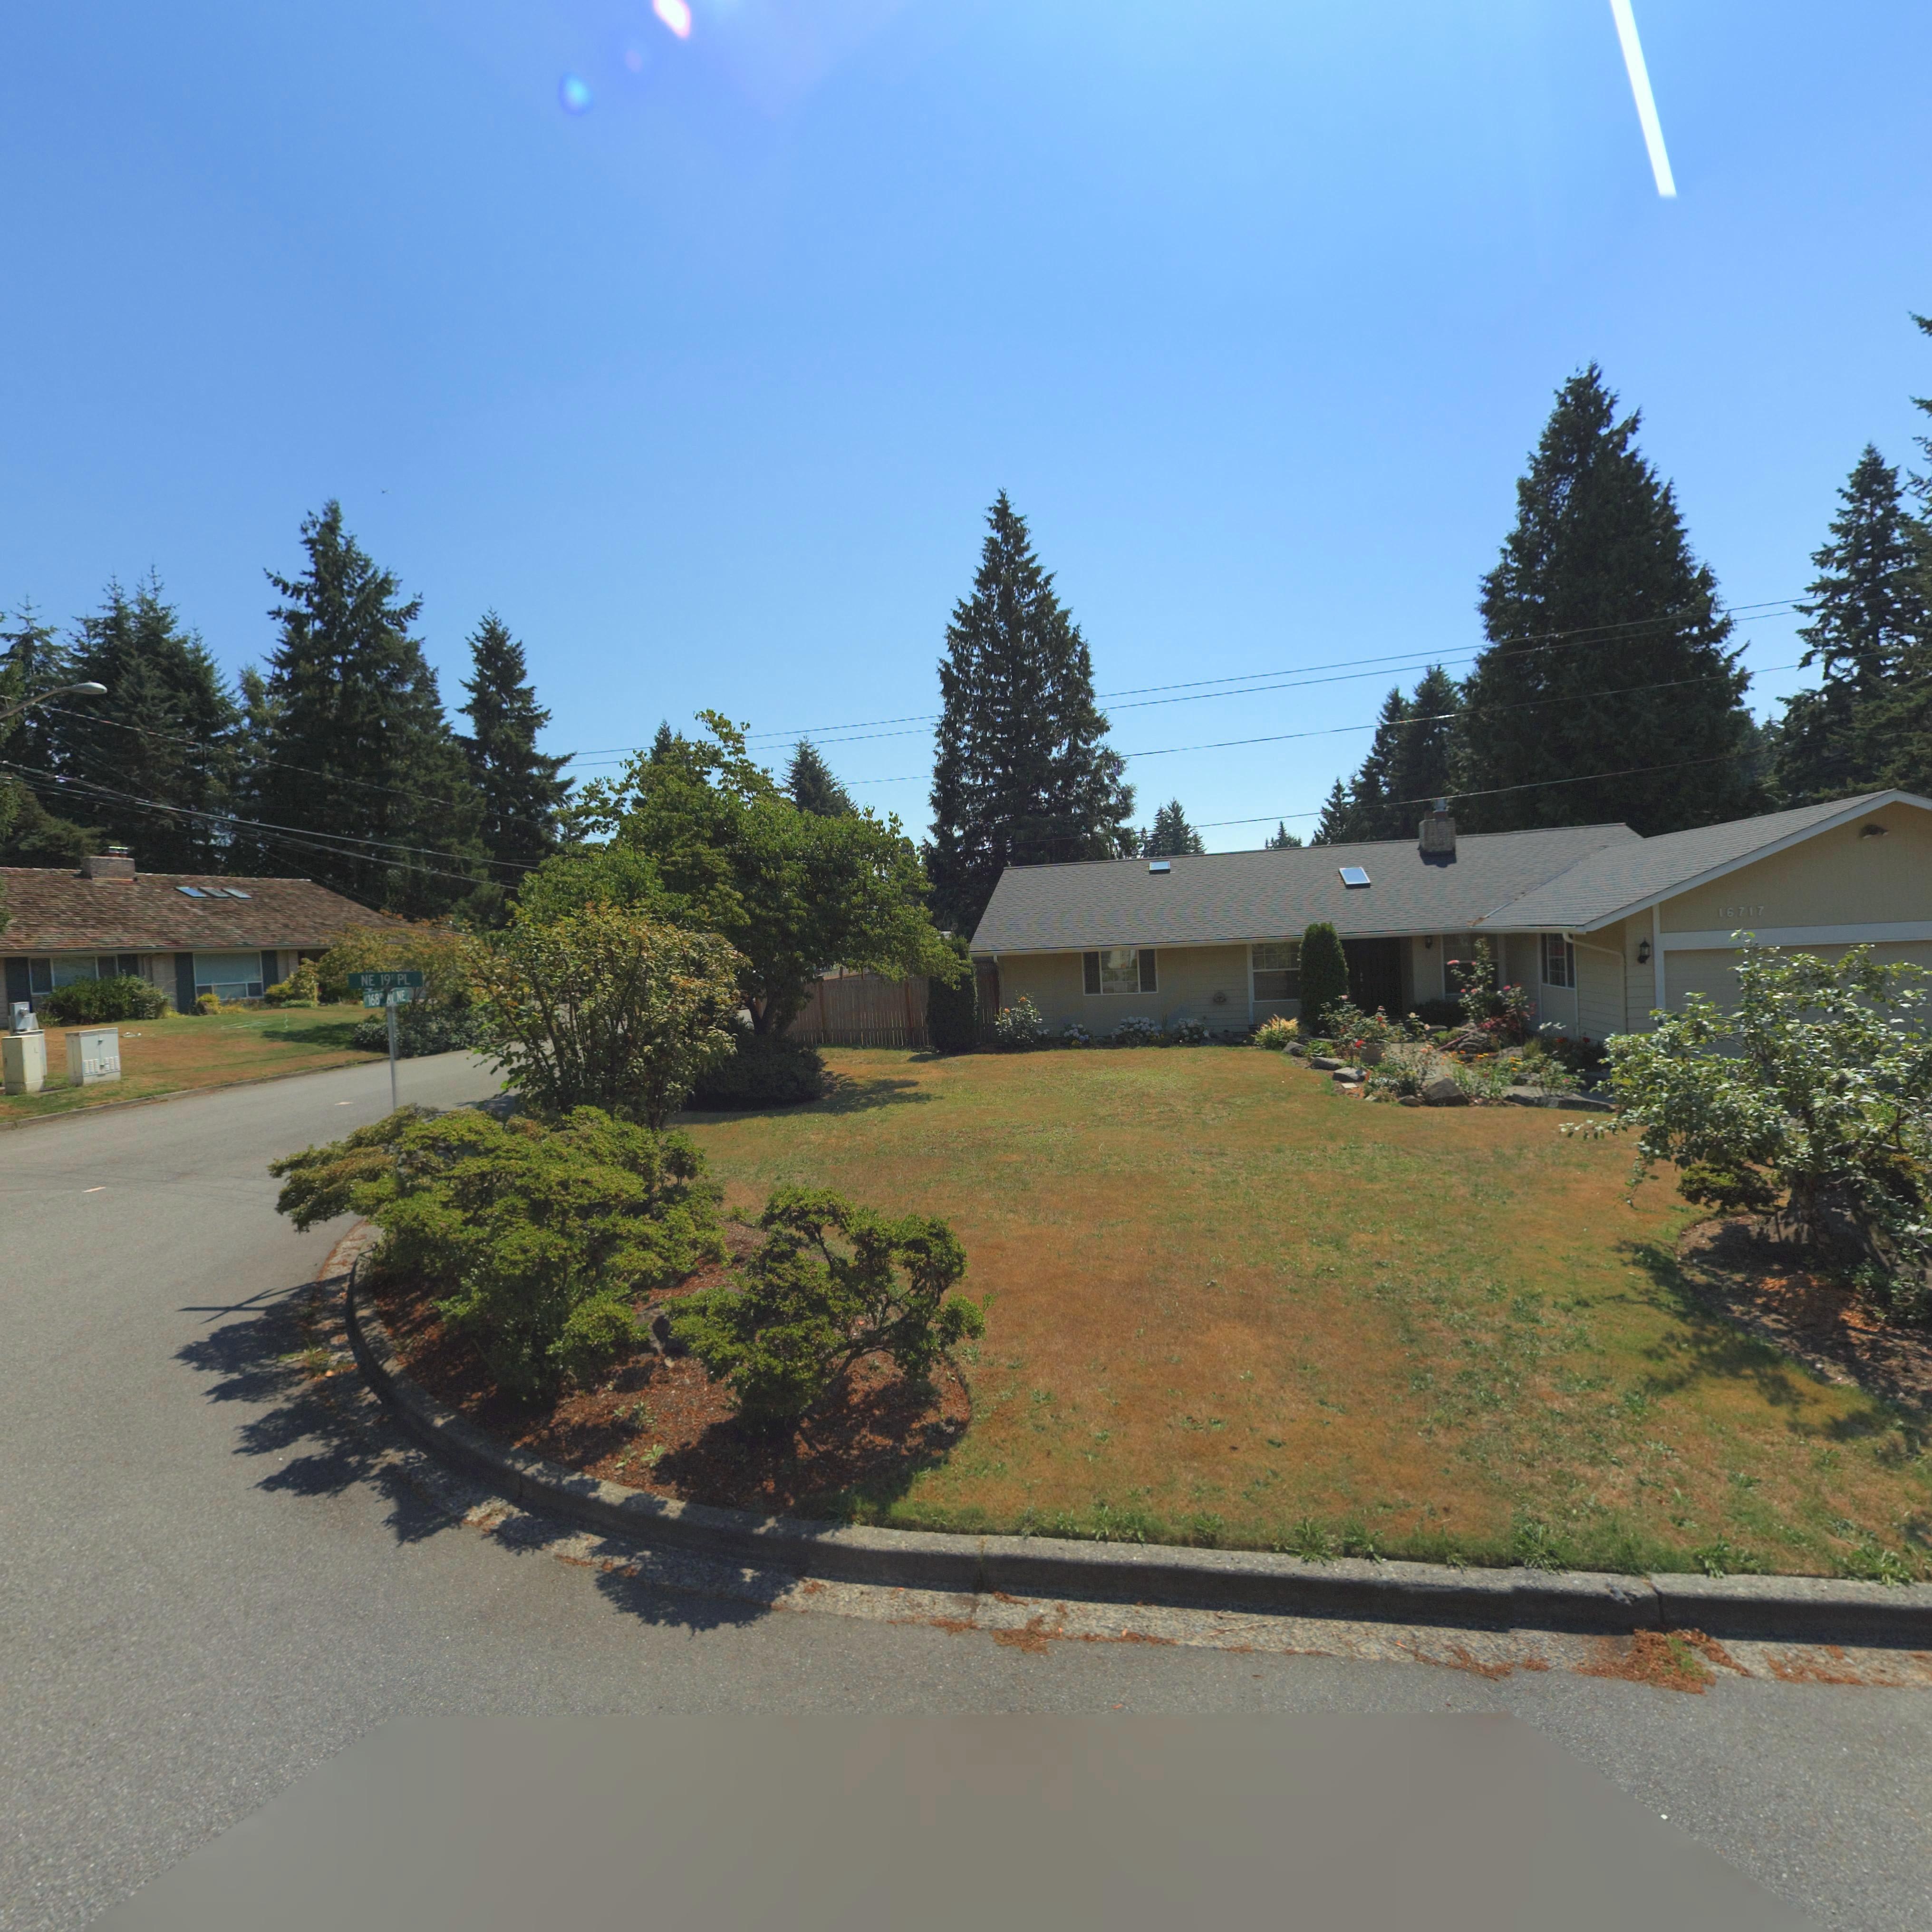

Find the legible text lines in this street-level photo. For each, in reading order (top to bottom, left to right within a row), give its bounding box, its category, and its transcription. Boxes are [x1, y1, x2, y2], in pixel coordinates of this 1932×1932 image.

[1718, 905, 1764, 918] StreetNumber: 16717
[360, 973, 410, 986] StreetName: NE 19* PL
[367, 989, 406, 1006] StreetName: 168* AV NE